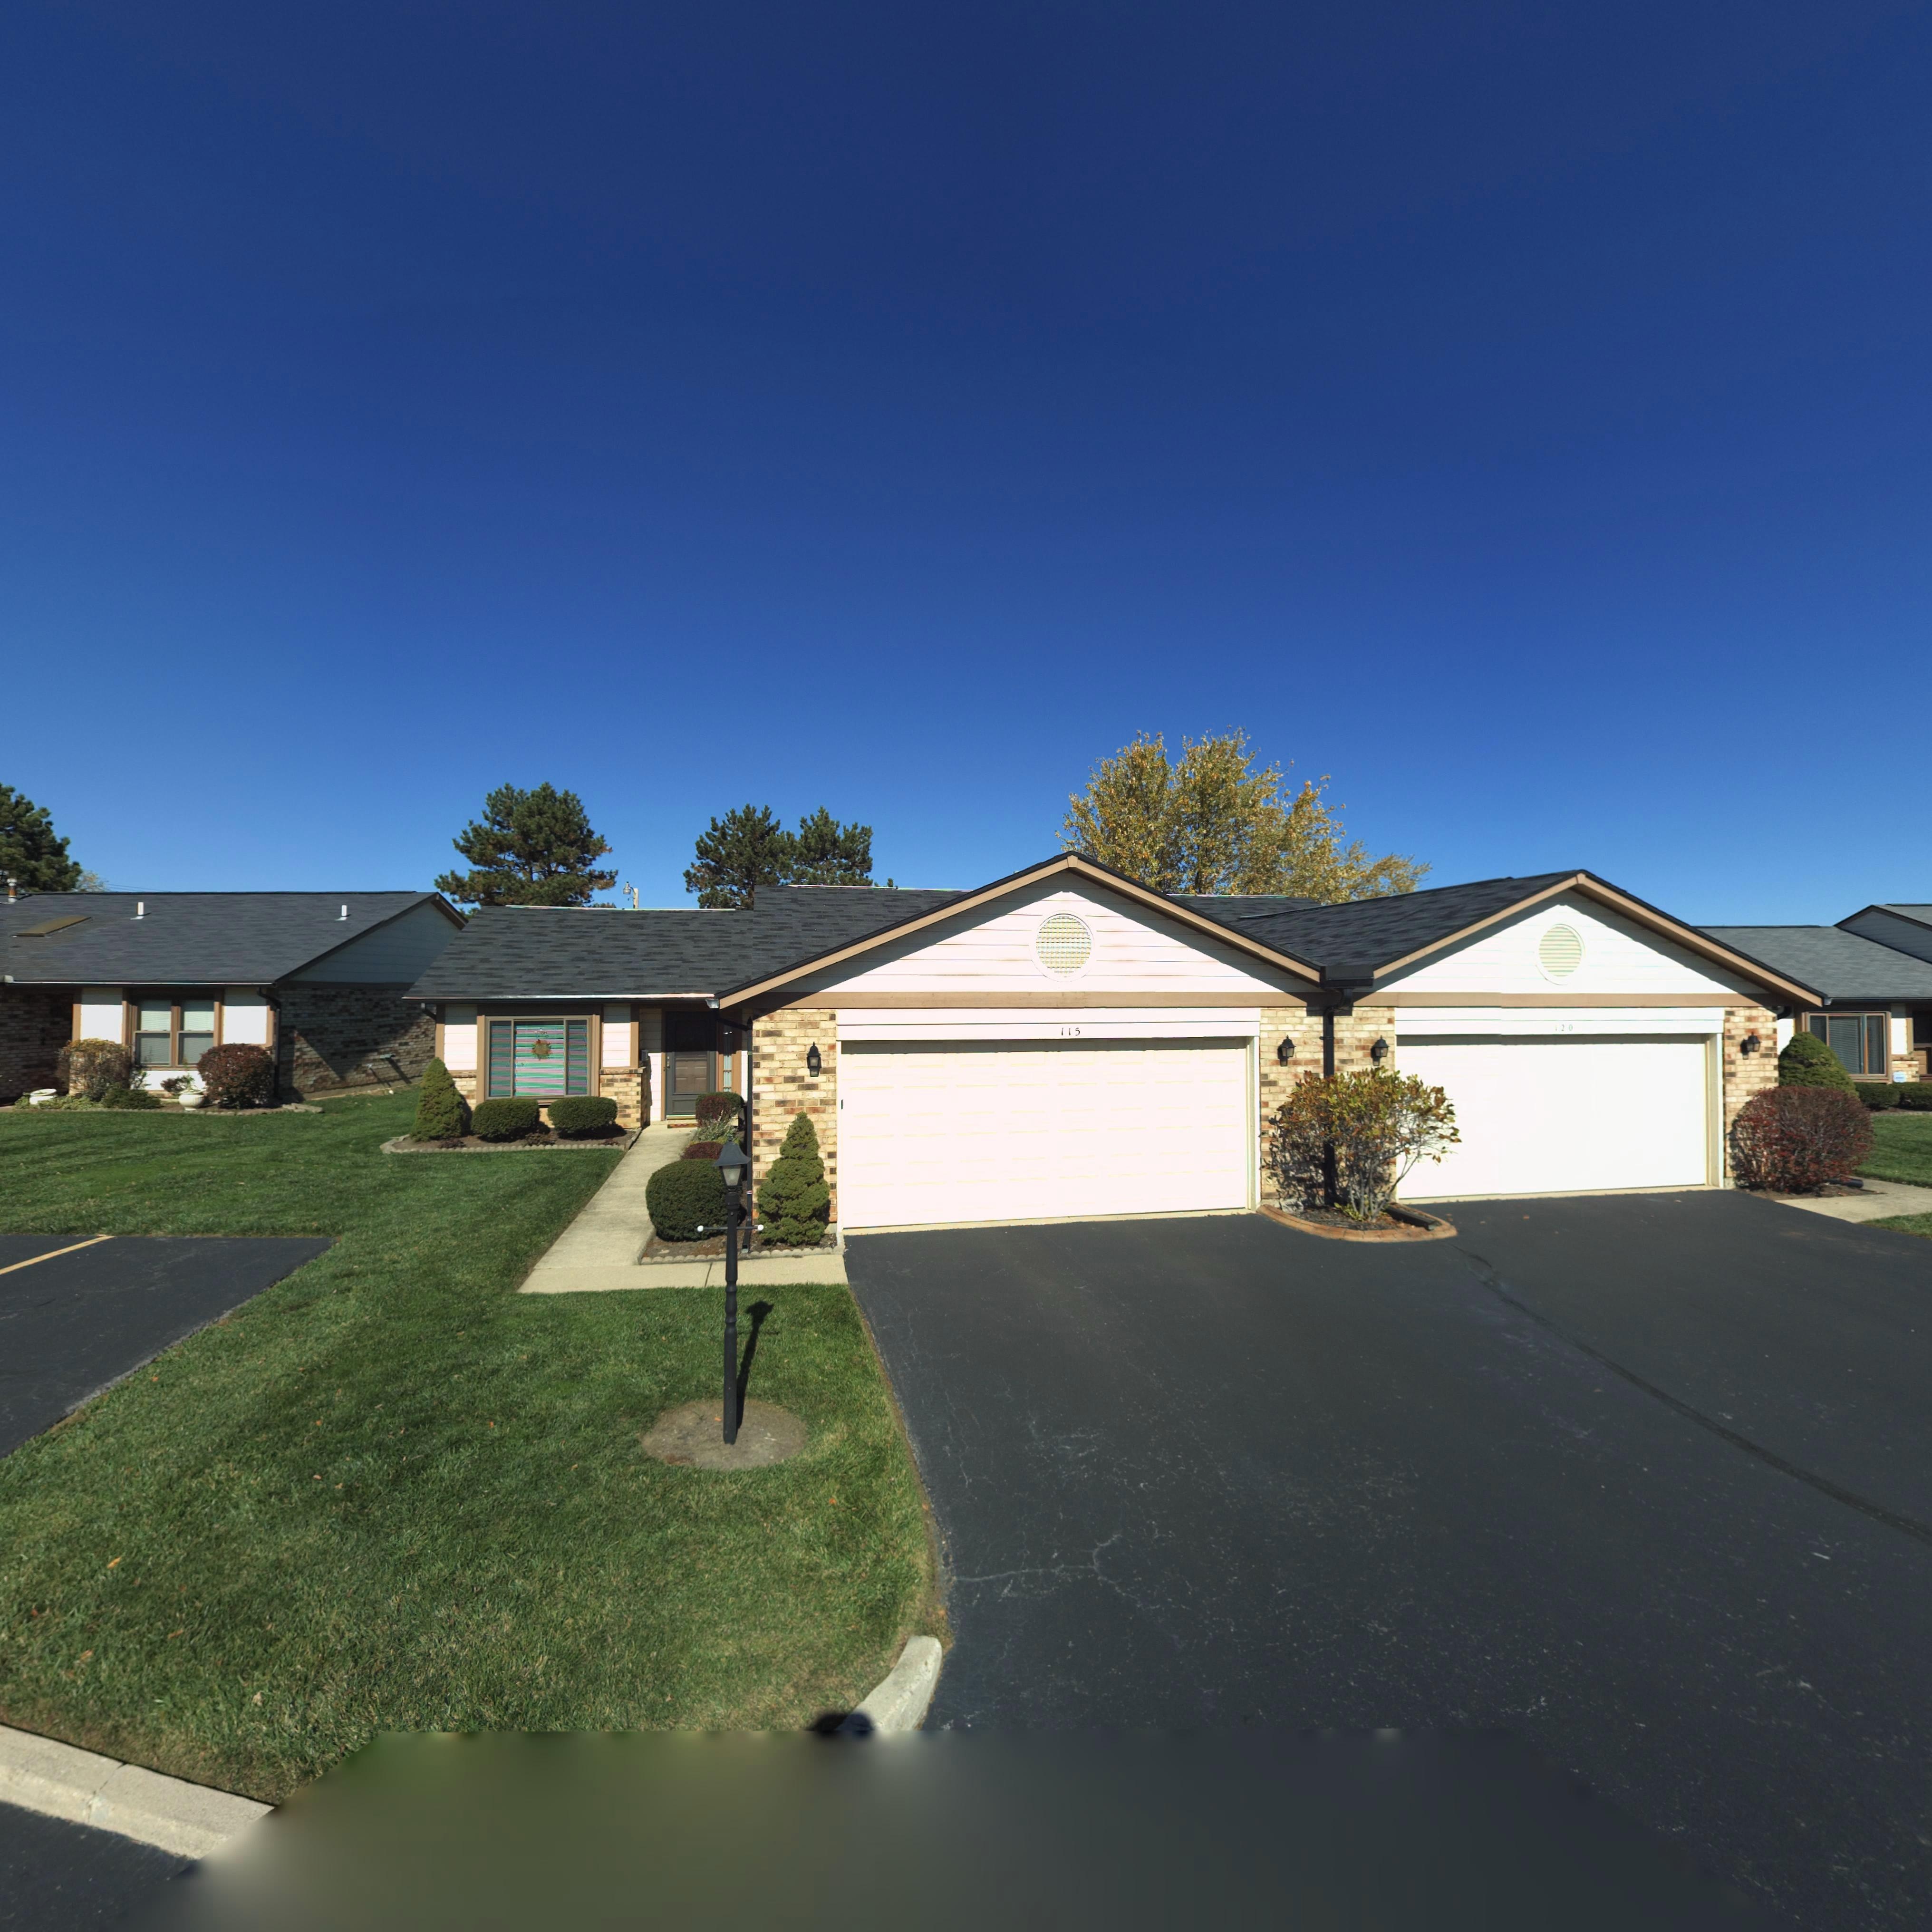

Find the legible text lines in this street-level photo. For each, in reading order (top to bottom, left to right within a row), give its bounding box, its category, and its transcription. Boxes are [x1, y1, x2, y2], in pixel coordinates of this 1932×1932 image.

[1060, 1026, 1081, 1037] StreetNumber: 115
[1555, 1024, 1574, 1032] StreetNumber: 120